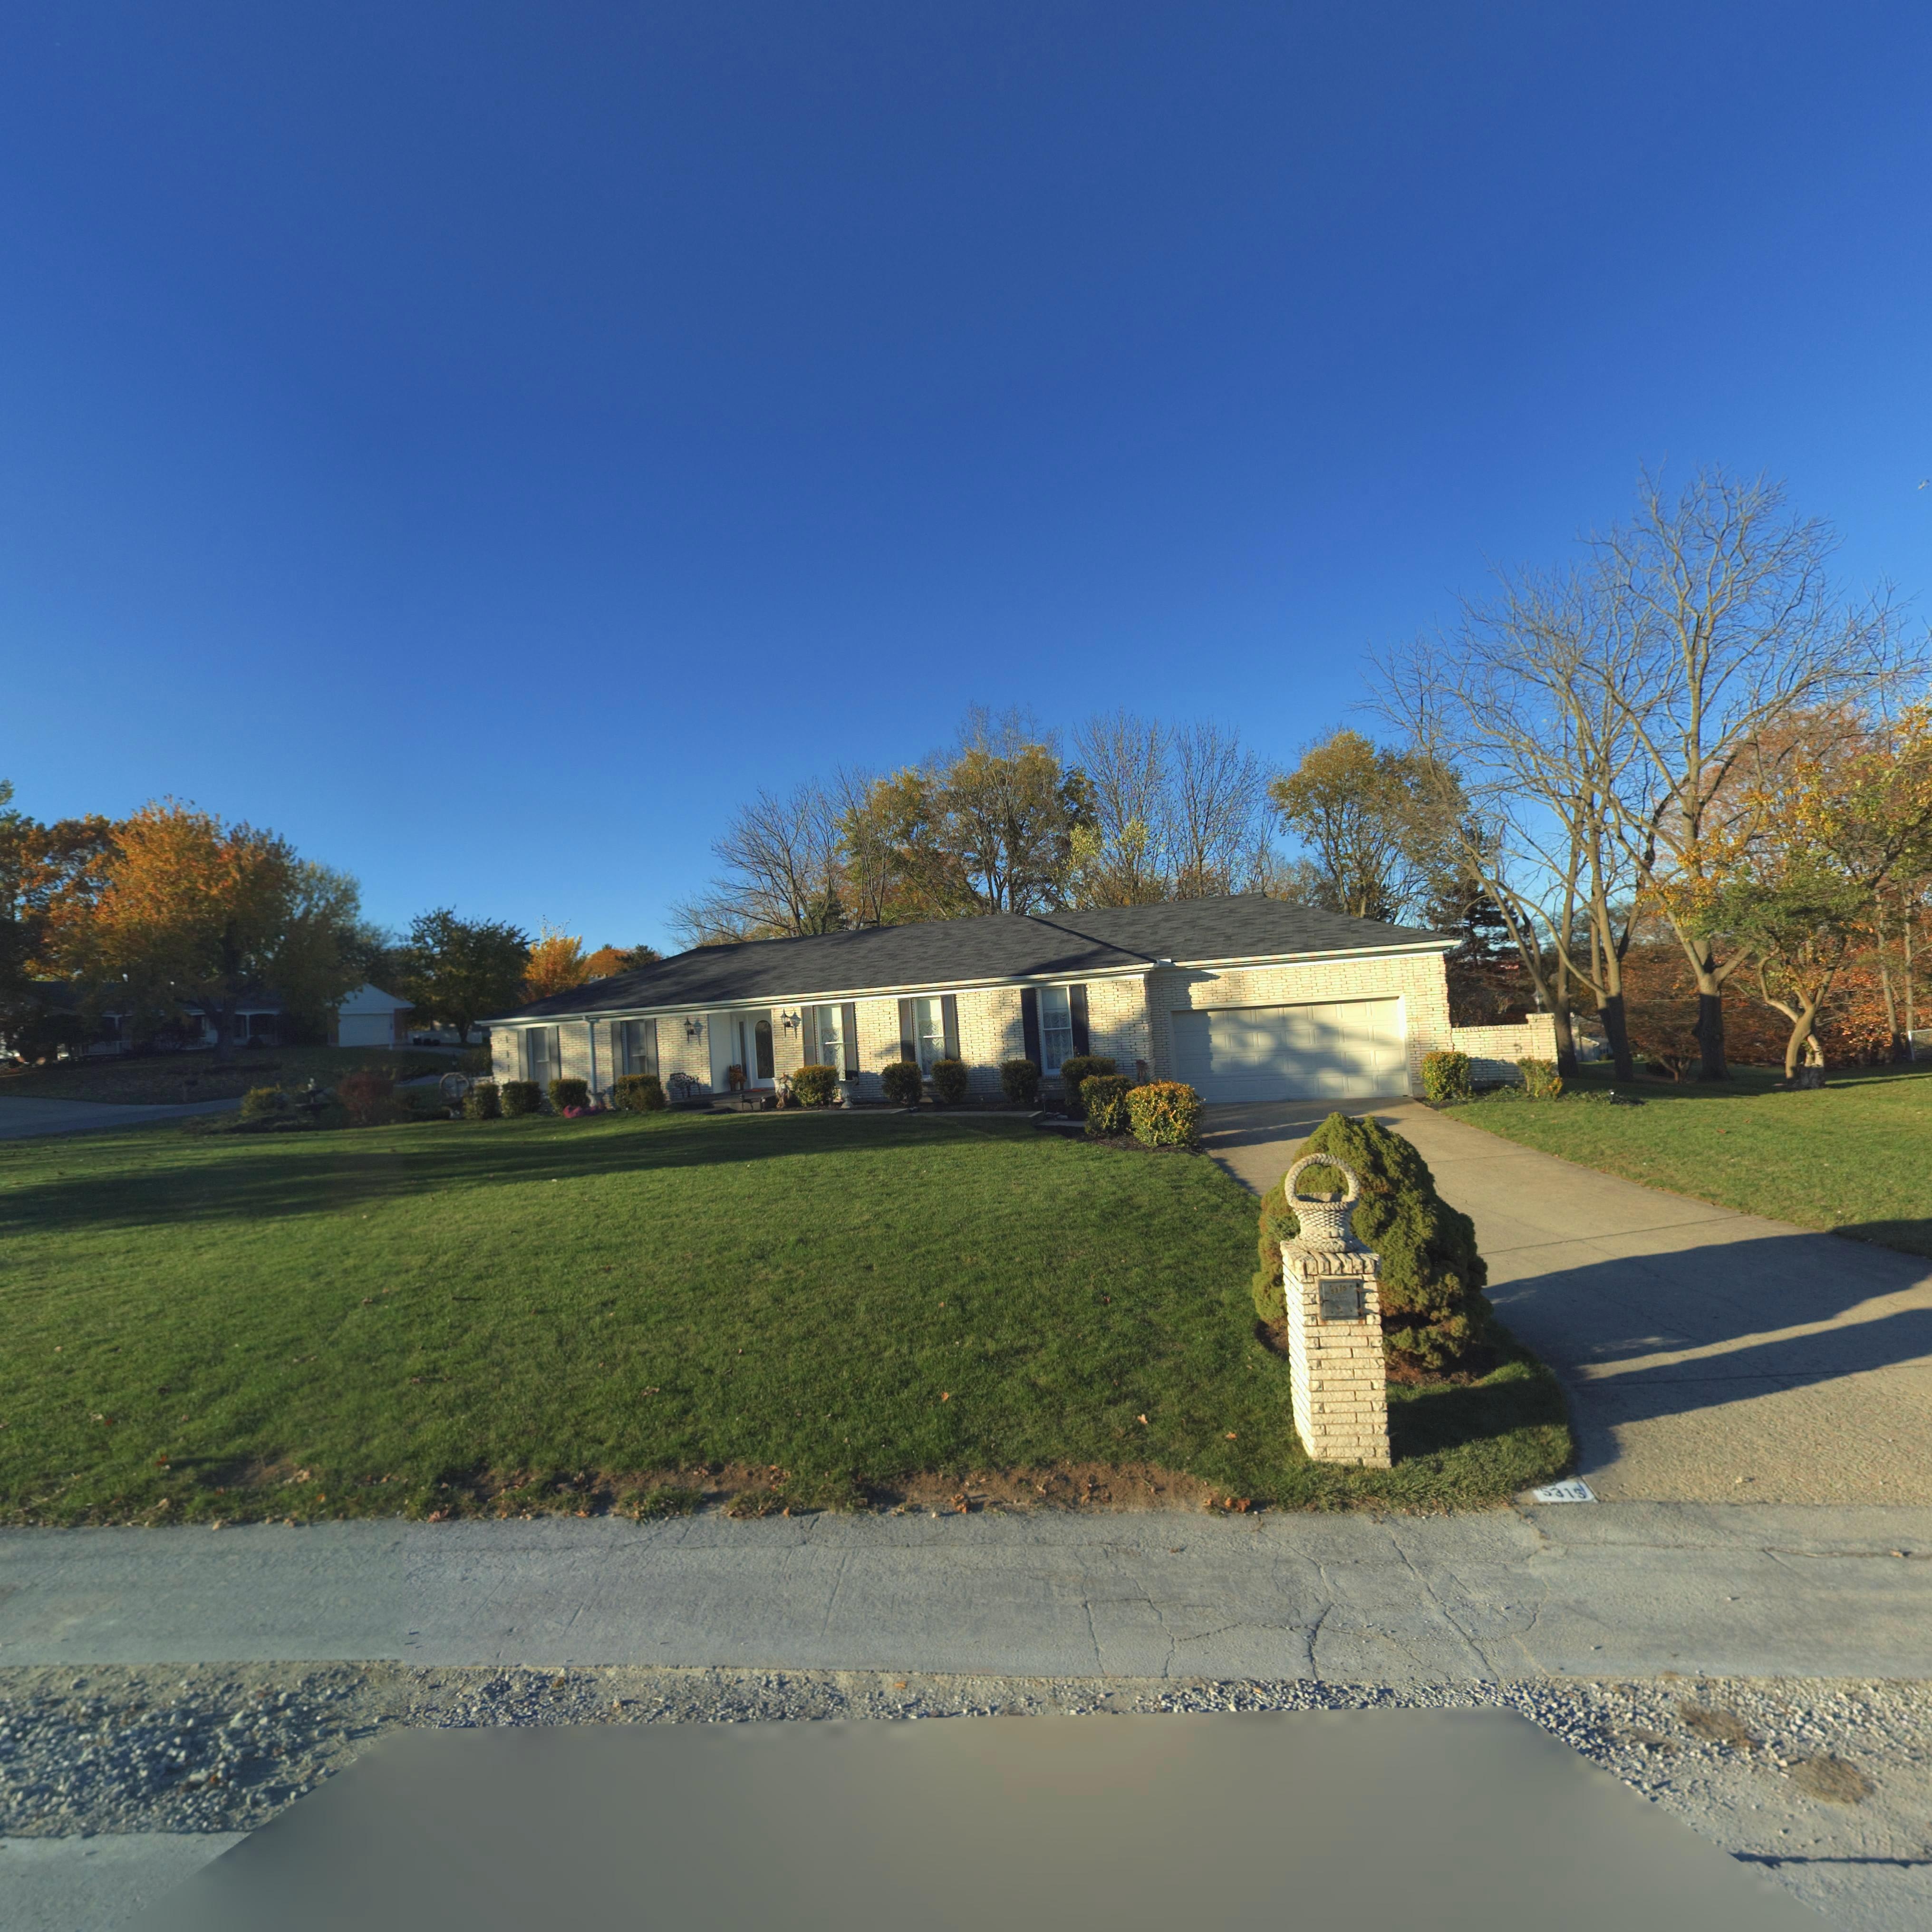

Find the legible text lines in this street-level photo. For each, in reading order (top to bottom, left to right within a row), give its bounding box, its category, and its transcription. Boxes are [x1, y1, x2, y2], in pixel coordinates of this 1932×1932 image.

[1329, 1284, 1348, 1296] StreetNumber: 5315
[1538, 1486, 1588, 1500] StreetNumber: 5315